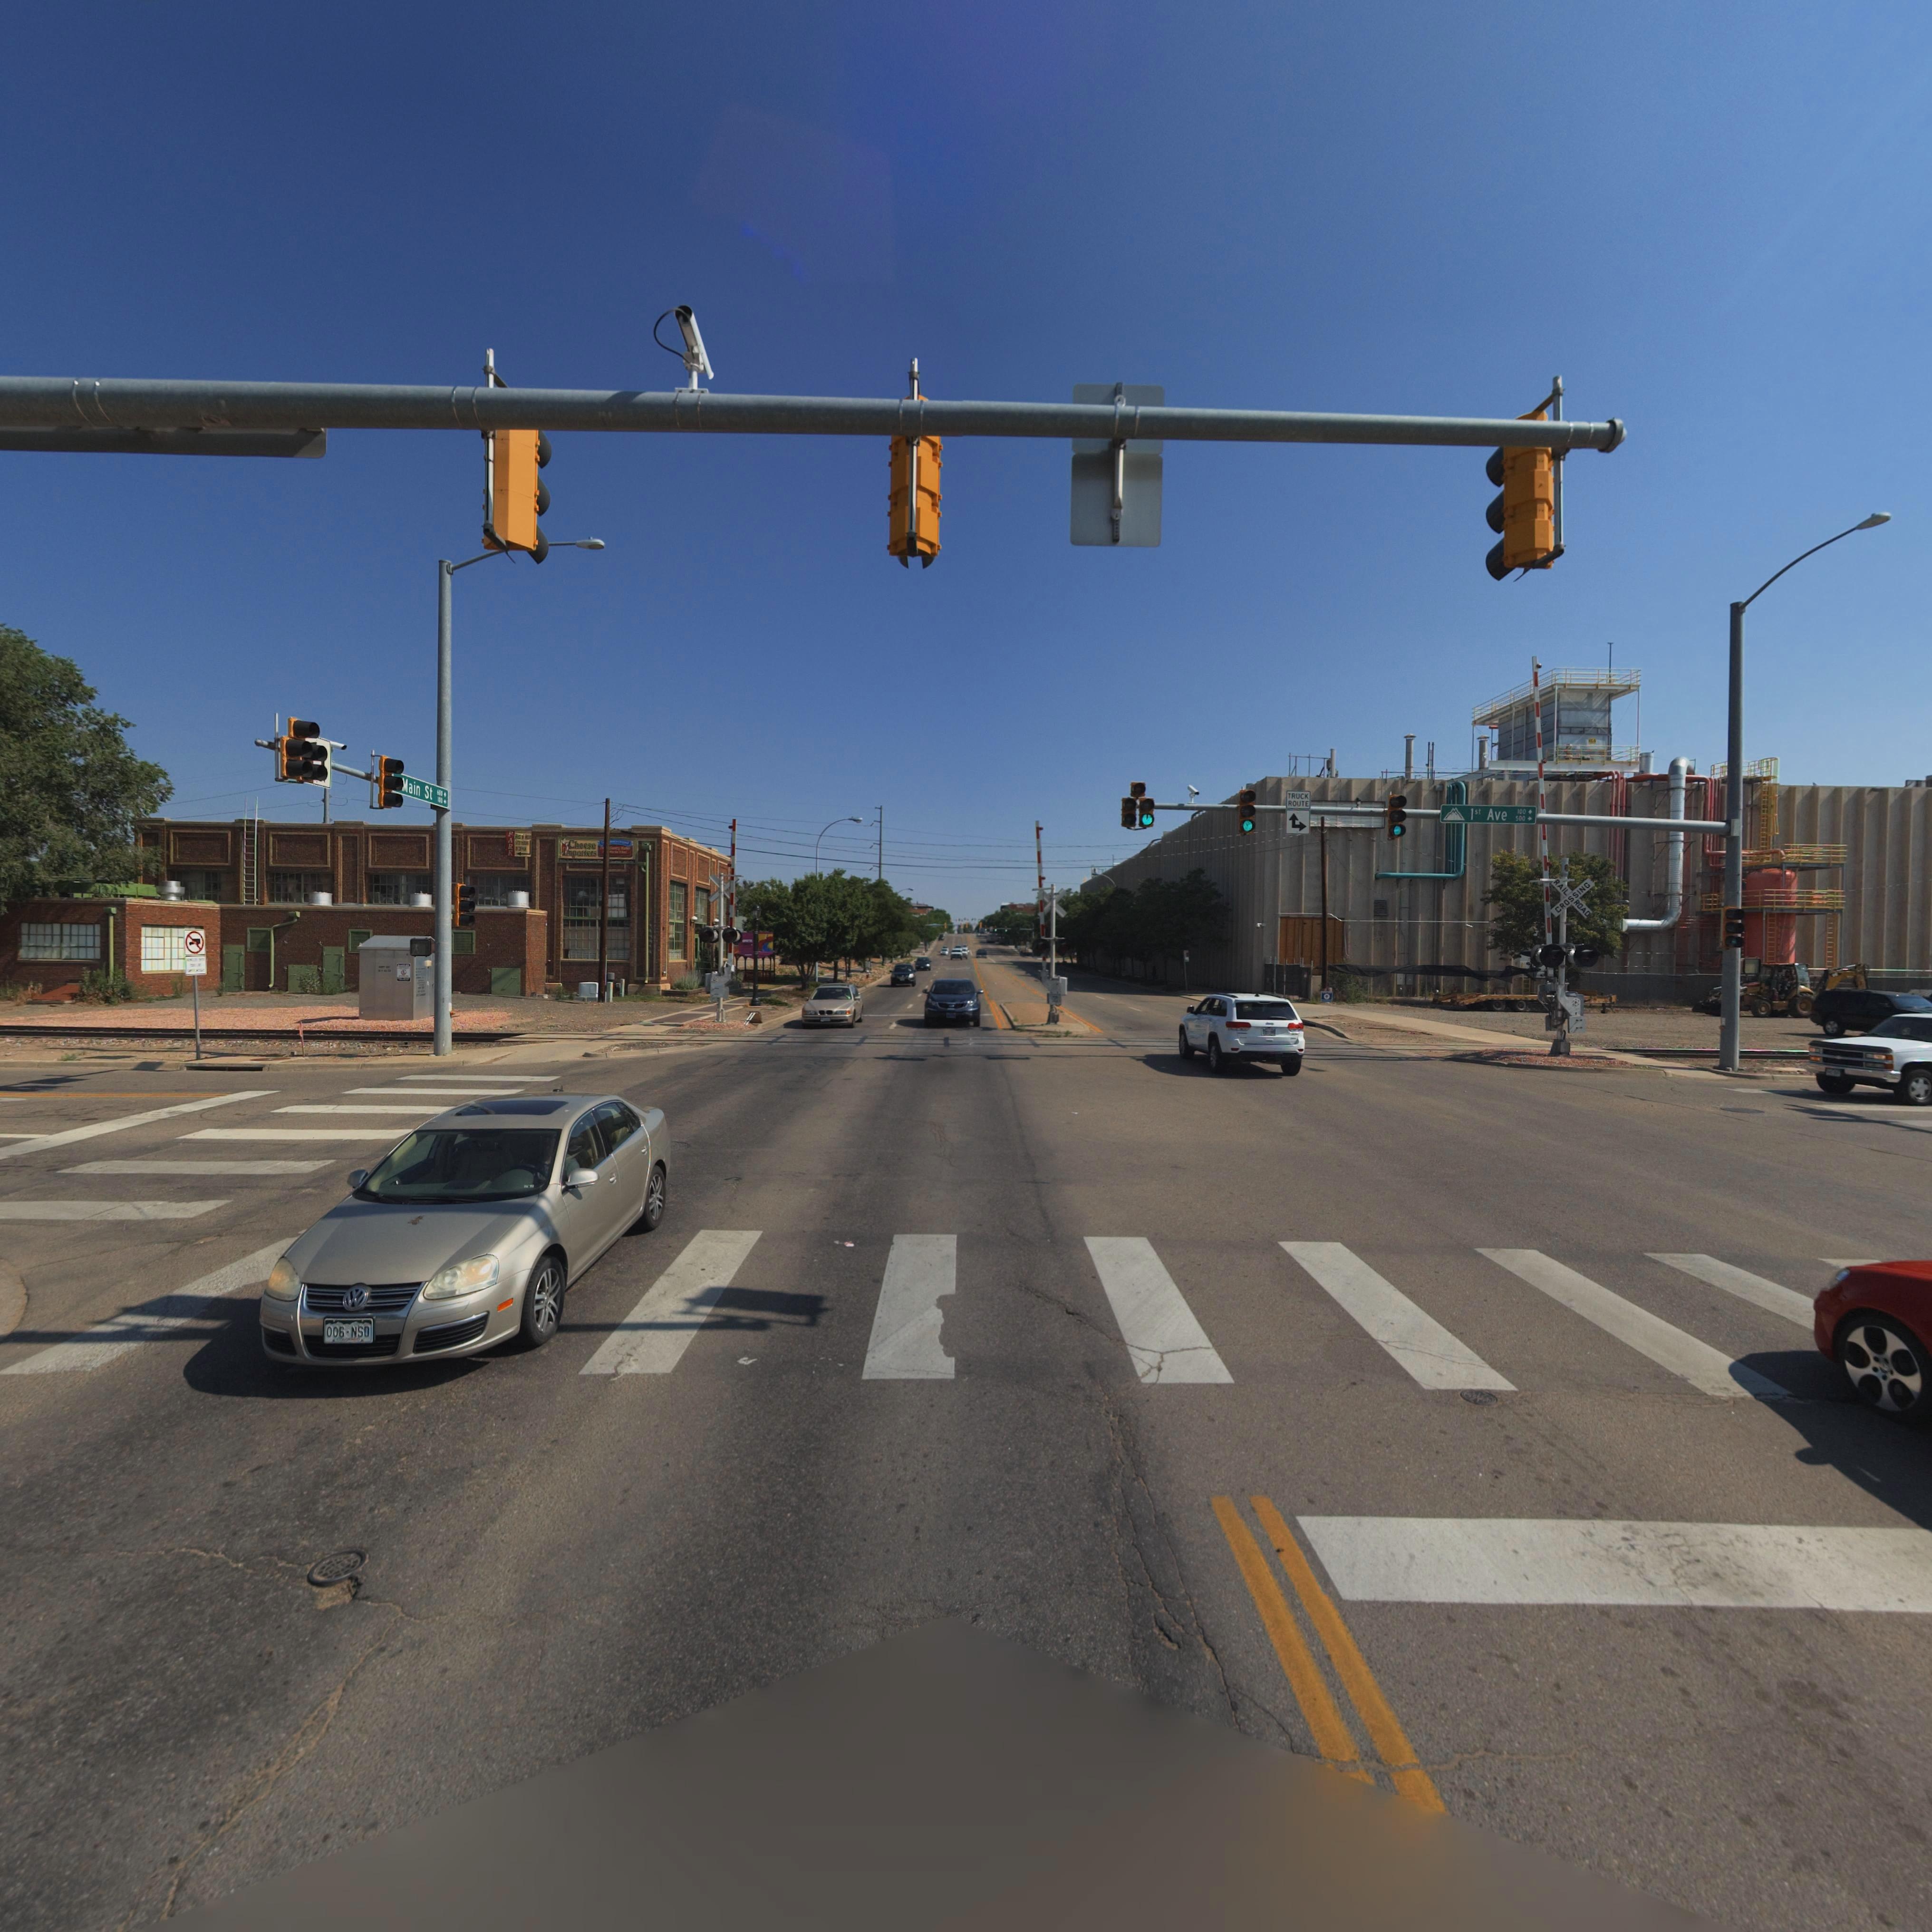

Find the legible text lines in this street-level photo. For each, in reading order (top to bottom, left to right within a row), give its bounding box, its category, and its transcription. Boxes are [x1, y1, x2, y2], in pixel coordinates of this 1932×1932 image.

[402, 777, 433, 801] StreetName: Main St
[436, 789, 443, 797] StreetNumberRange: 6**
[1469, 808, 1507, 821] StreetName: 1st Ave
[1517, 808, 1526, 814] StreetNumberRange: 100
[1515, 815, 1532, 821] StreetNumberRange: 500 ->
[568, 838, 597, 850] BusinessName: Cheese
[562, 847, 597, 858] BusinessName: Import**s